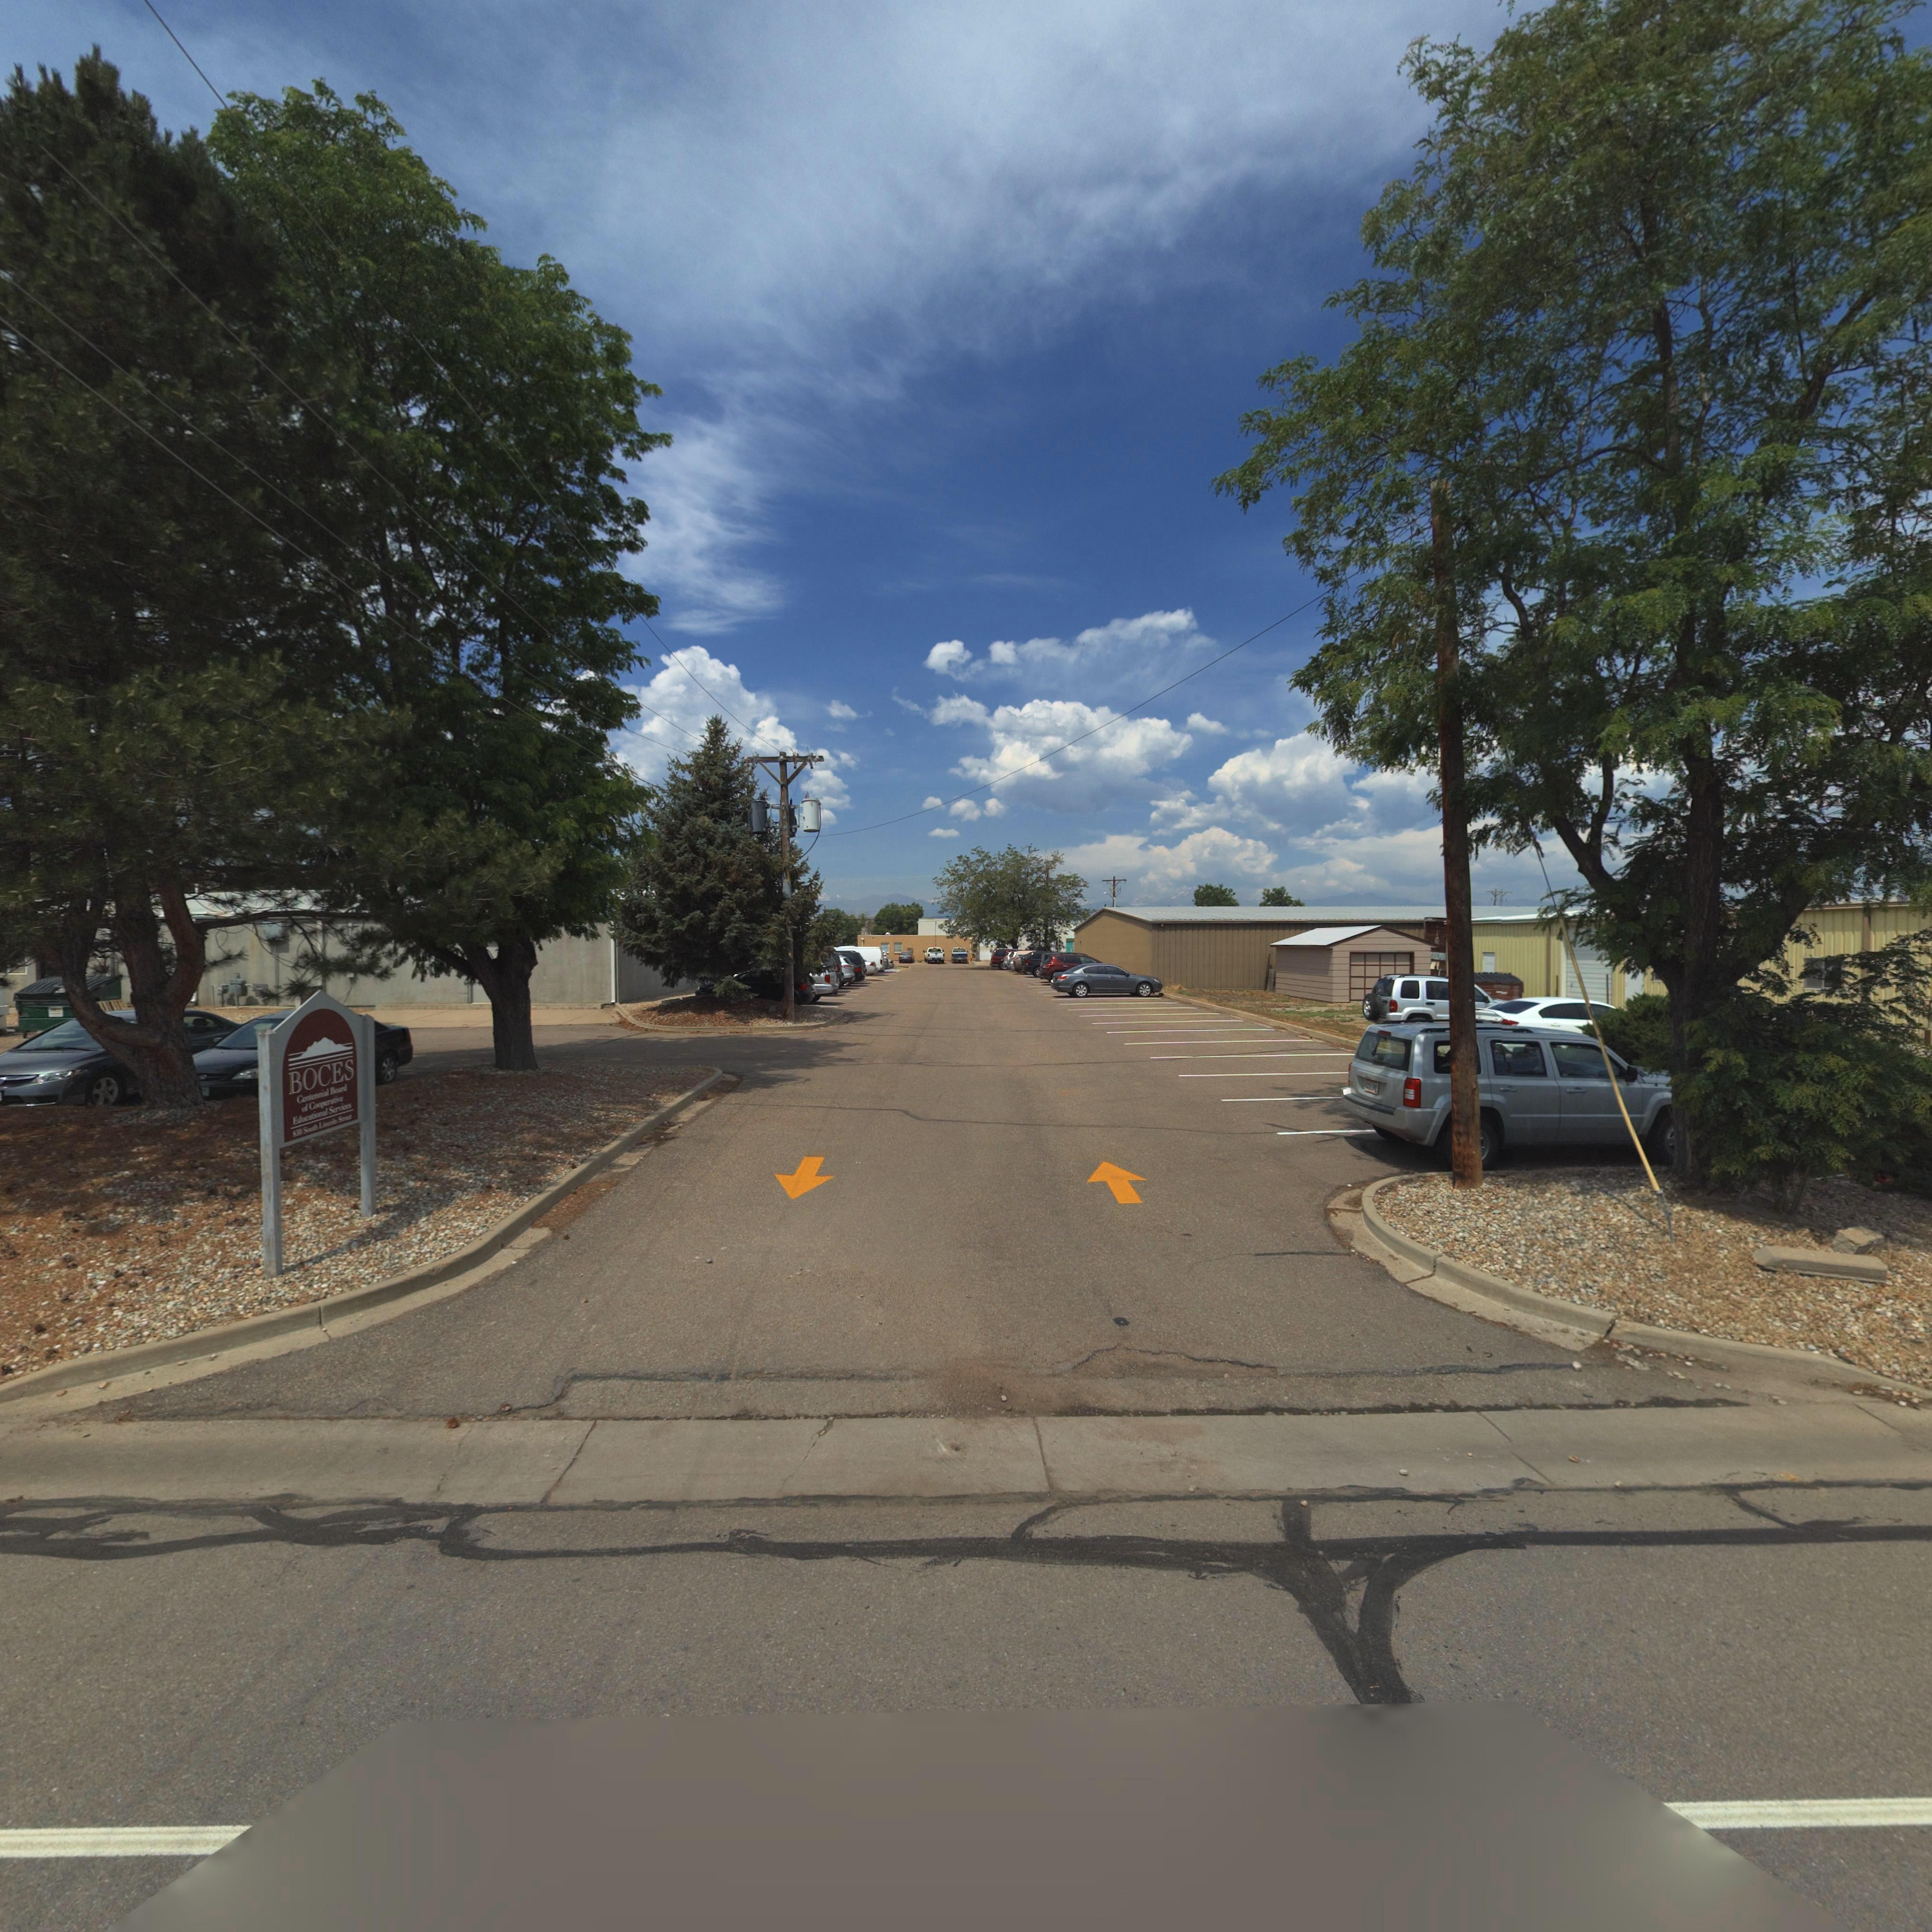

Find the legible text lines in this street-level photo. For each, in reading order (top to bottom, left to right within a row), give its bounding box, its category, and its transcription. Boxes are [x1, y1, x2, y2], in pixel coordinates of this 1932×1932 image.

[287, 1058, 354, 1095] BusinessName: BOCES
[292, 1127, 302, 1138] StreetNumber: 830
[296, 1083, 348, 1104] BusinessName: Centennial Board
[293, 1102, 352, 1125] BusinessName: Educational Services
[301, 1095, 344, 1112] BusinessName: of Cooperative
[302, 1114, 352, 1134] StreetName: South Lincoln Street